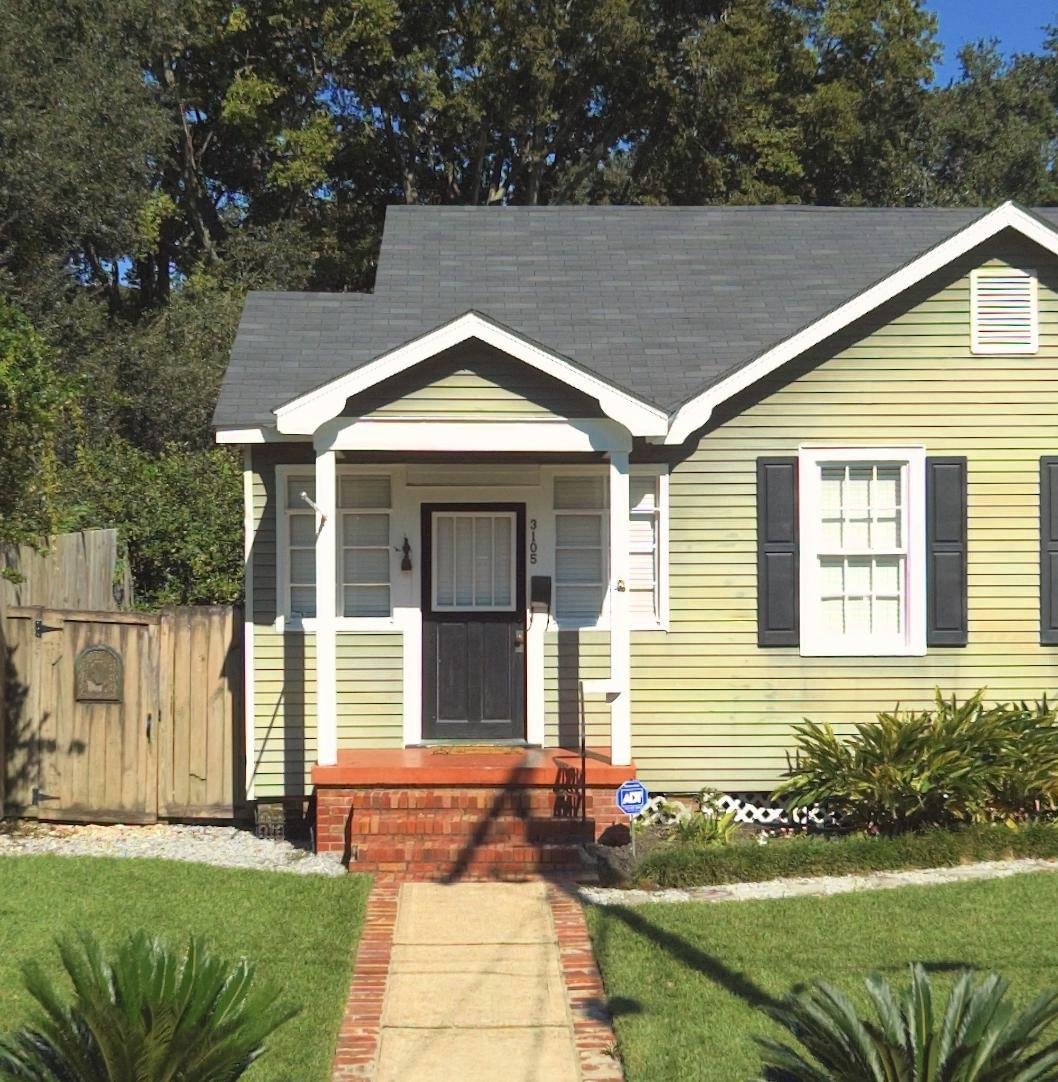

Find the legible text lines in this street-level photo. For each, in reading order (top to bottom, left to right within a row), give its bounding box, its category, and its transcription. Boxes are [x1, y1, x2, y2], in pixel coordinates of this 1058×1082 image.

[528, 517, 539, 566] StreetNumber: 3105
[620, 789, 645, 806] None: ADT